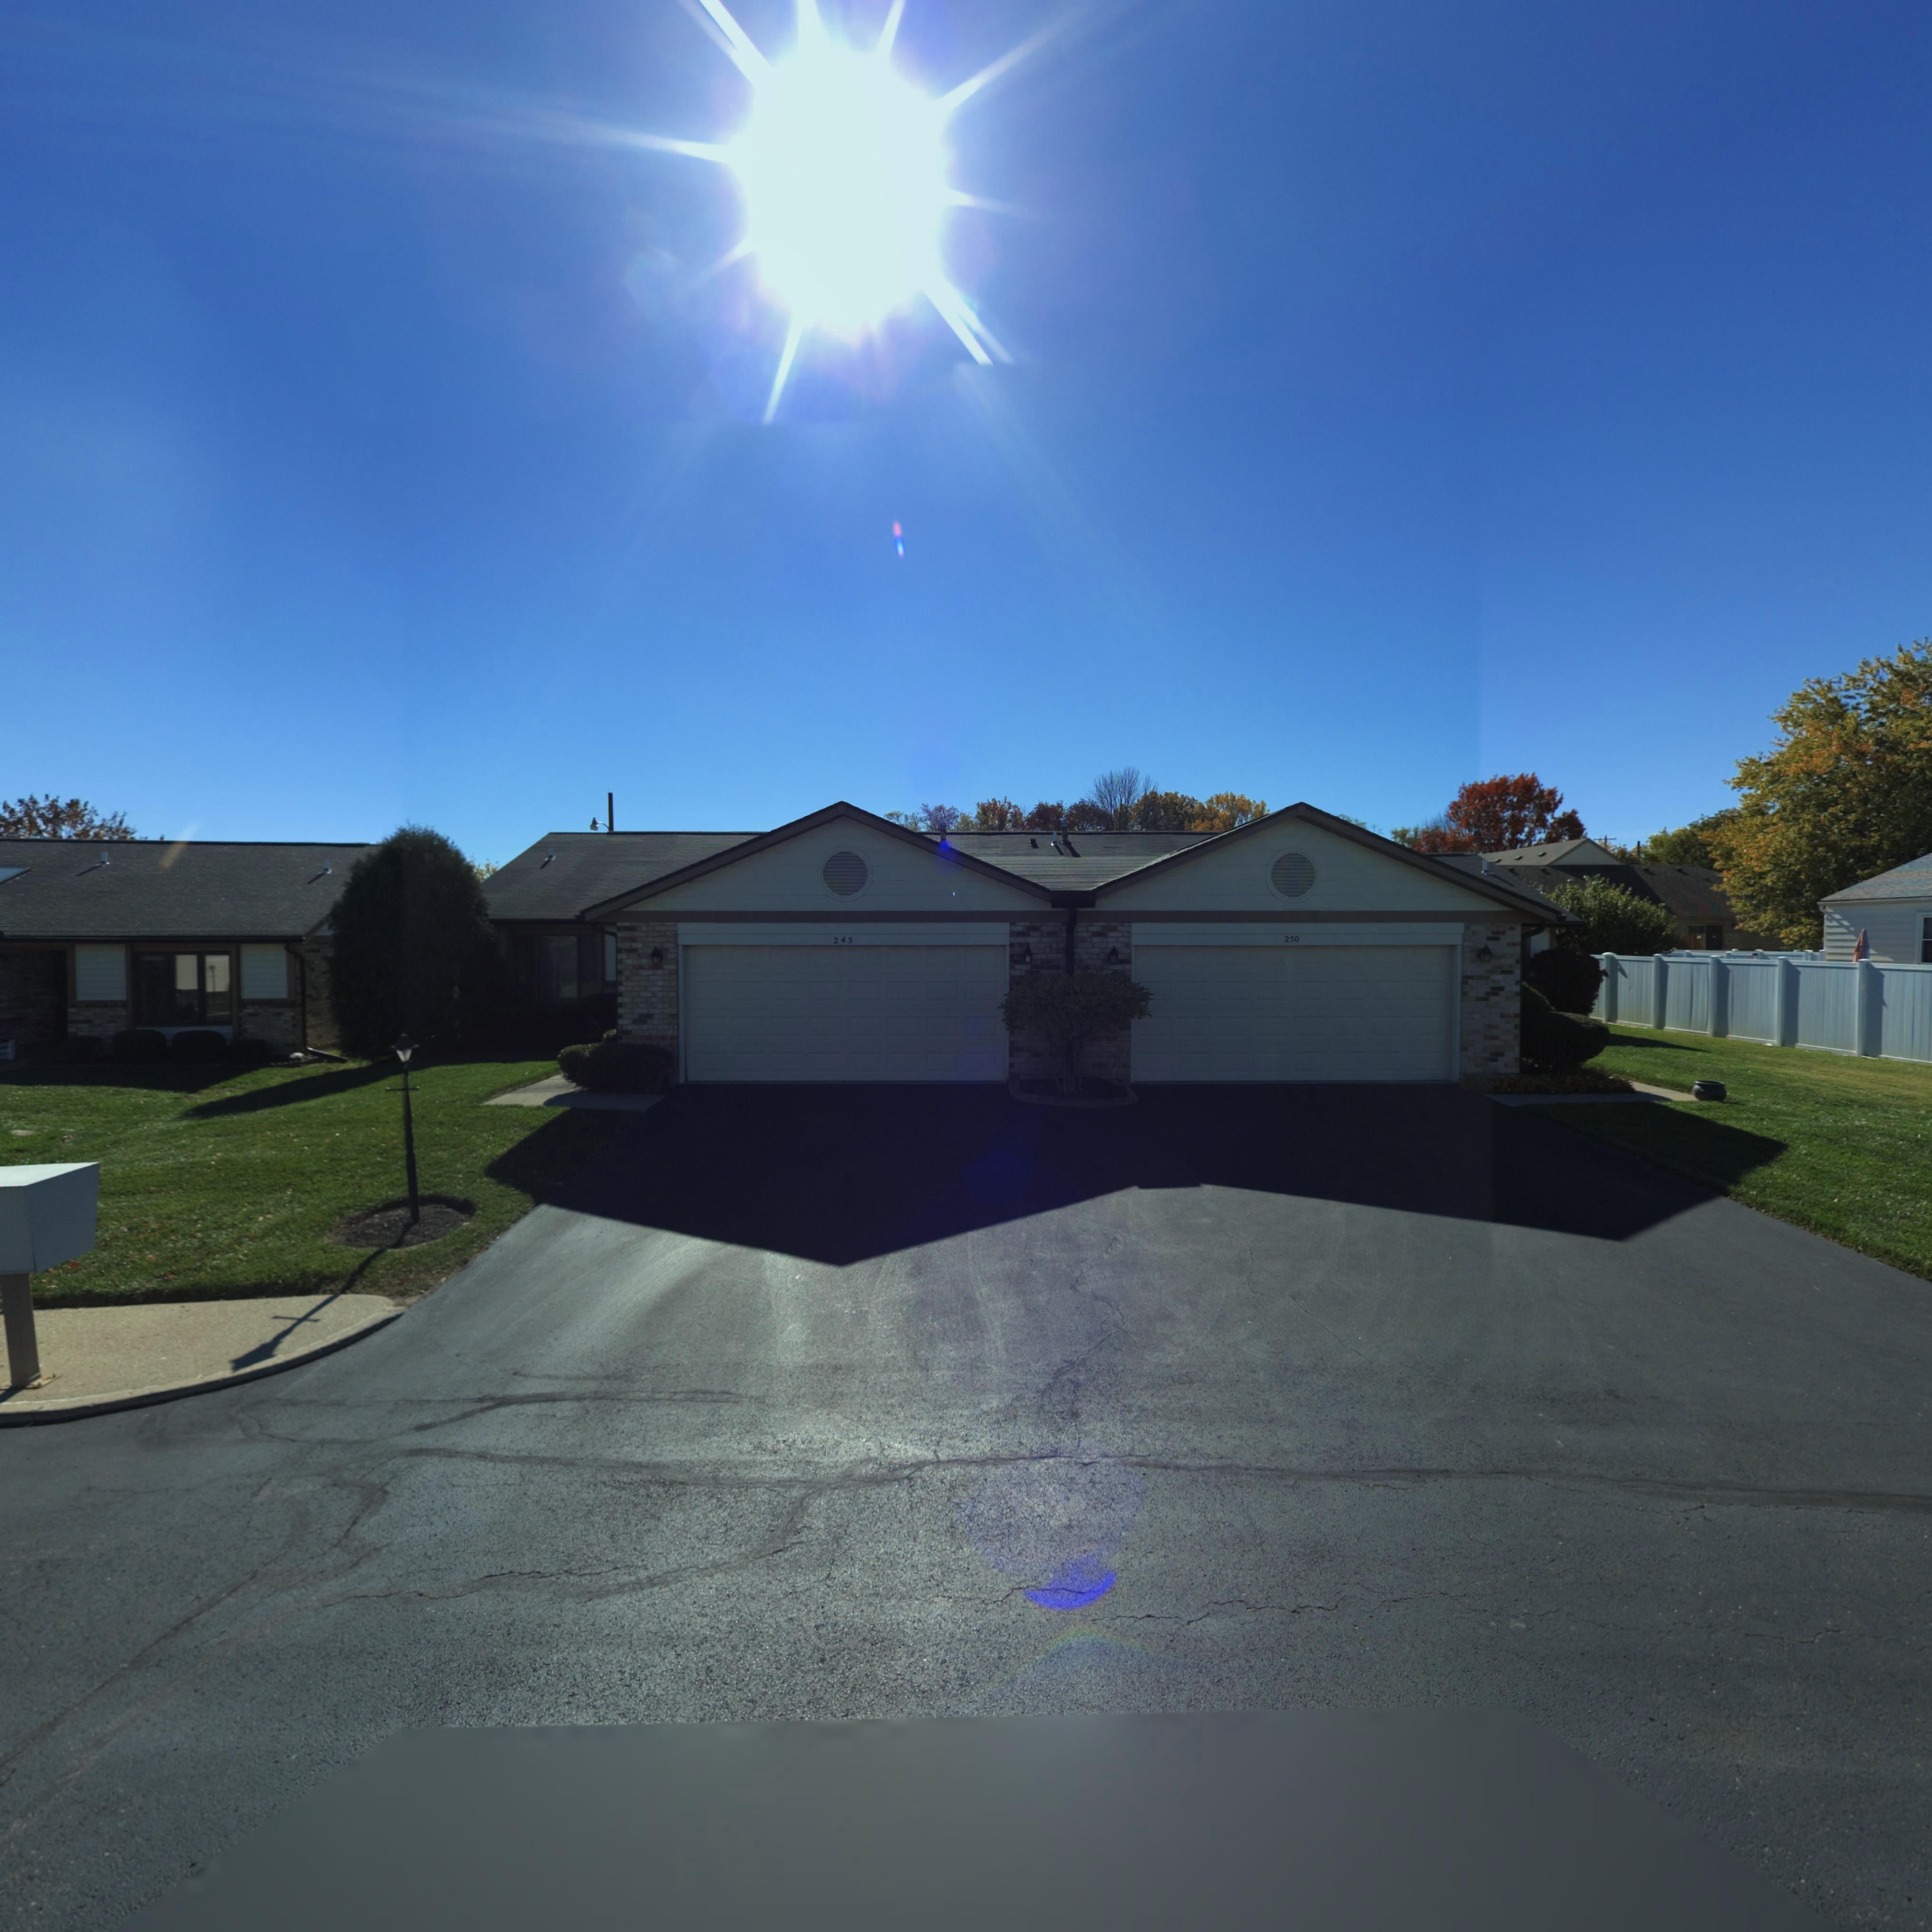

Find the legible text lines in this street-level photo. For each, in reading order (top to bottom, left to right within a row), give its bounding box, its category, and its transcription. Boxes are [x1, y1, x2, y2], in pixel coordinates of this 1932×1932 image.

[833, 936, 853, 945] StreetNumber: 245
[1284, 935, 1300, 943] StreetNumber: 250